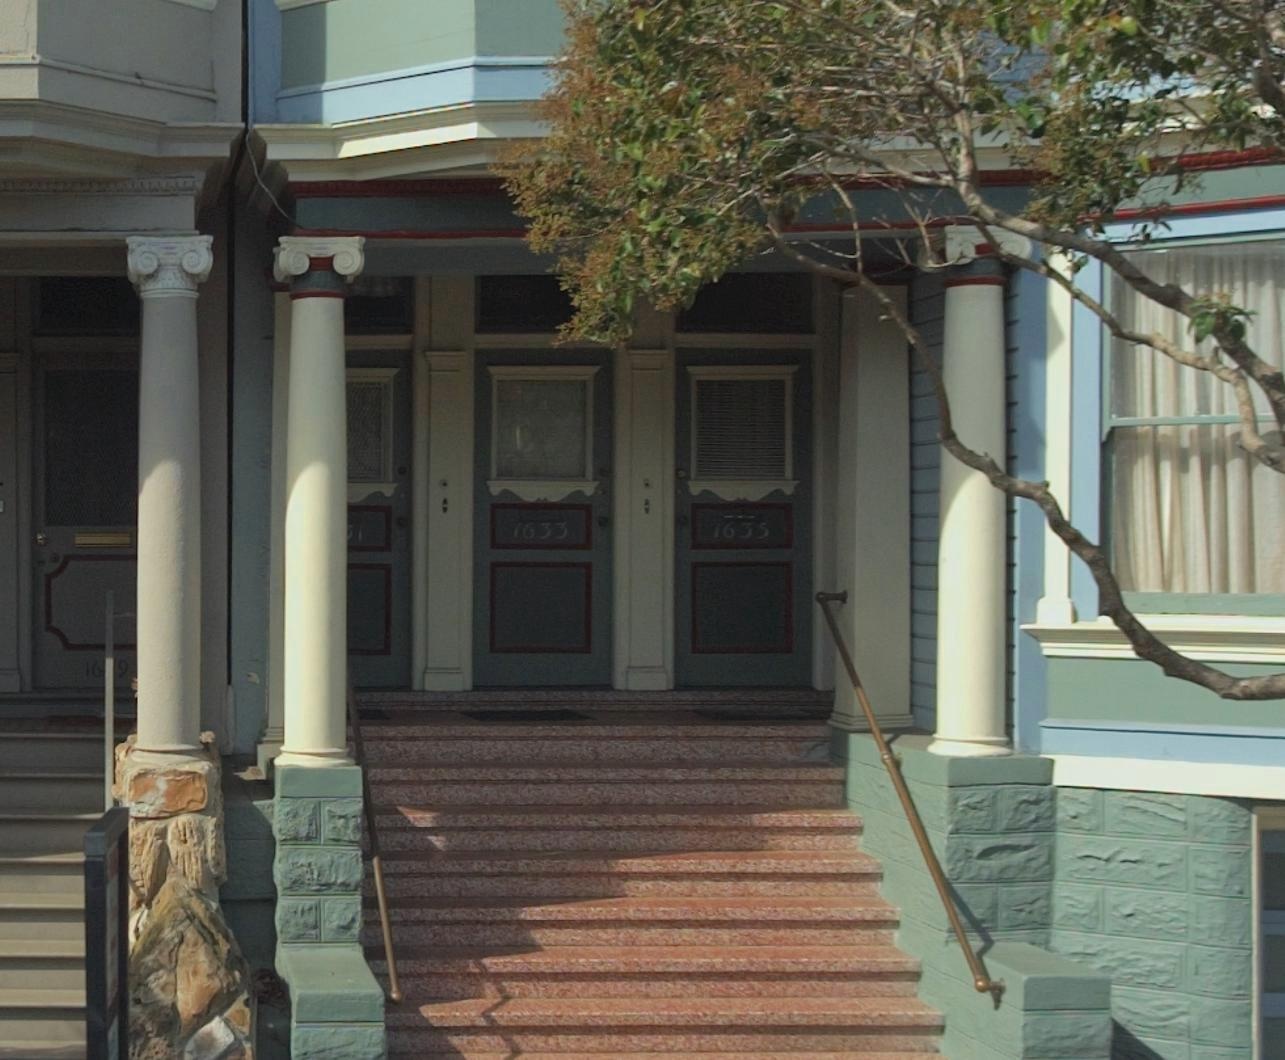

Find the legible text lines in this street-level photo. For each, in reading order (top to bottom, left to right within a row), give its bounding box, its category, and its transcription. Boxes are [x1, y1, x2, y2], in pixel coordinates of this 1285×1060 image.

[356, 520, 366, 545] StreetNumber: 1
[511, 519, 570, 542] StreetNumber: 1633
[709, 518, 772, 543] StreetNumber: 1635
[83, 656, 131, 681] StreetNumber: 16*9